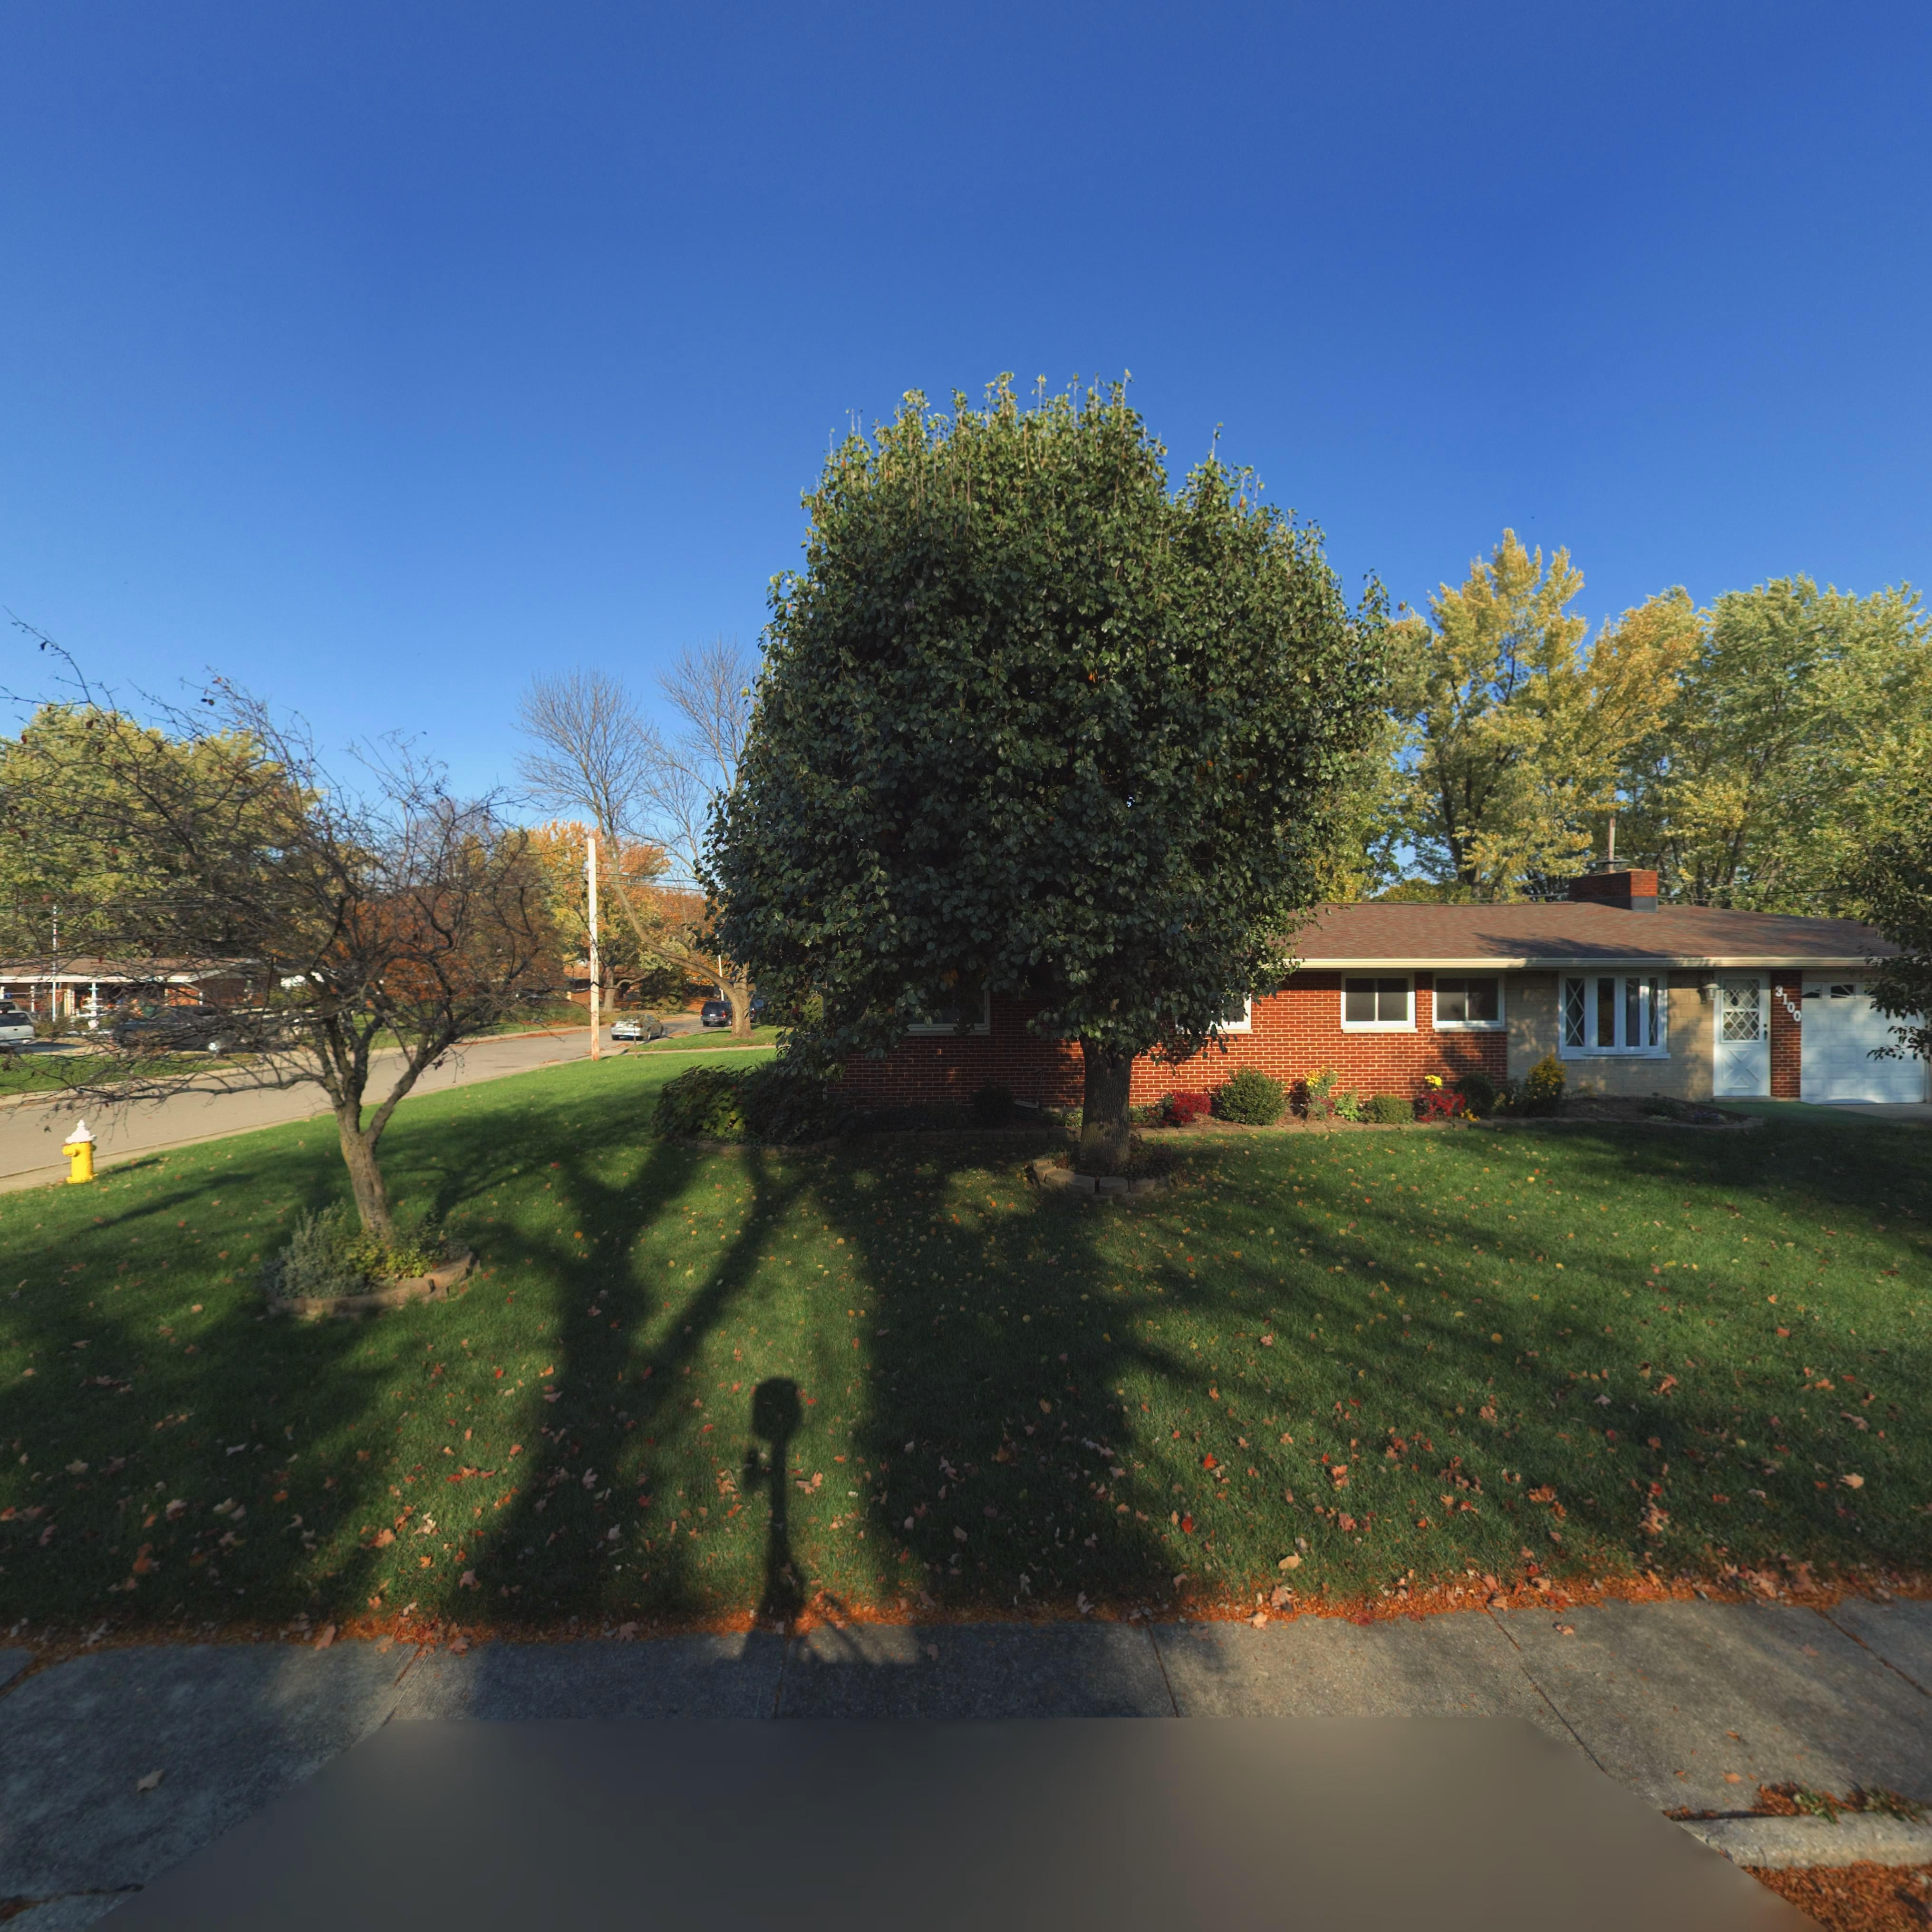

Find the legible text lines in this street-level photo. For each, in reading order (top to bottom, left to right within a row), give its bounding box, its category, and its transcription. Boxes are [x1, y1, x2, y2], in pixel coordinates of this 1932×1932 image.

[1775, 984, 1801, 1023] StreetNumber: 3100